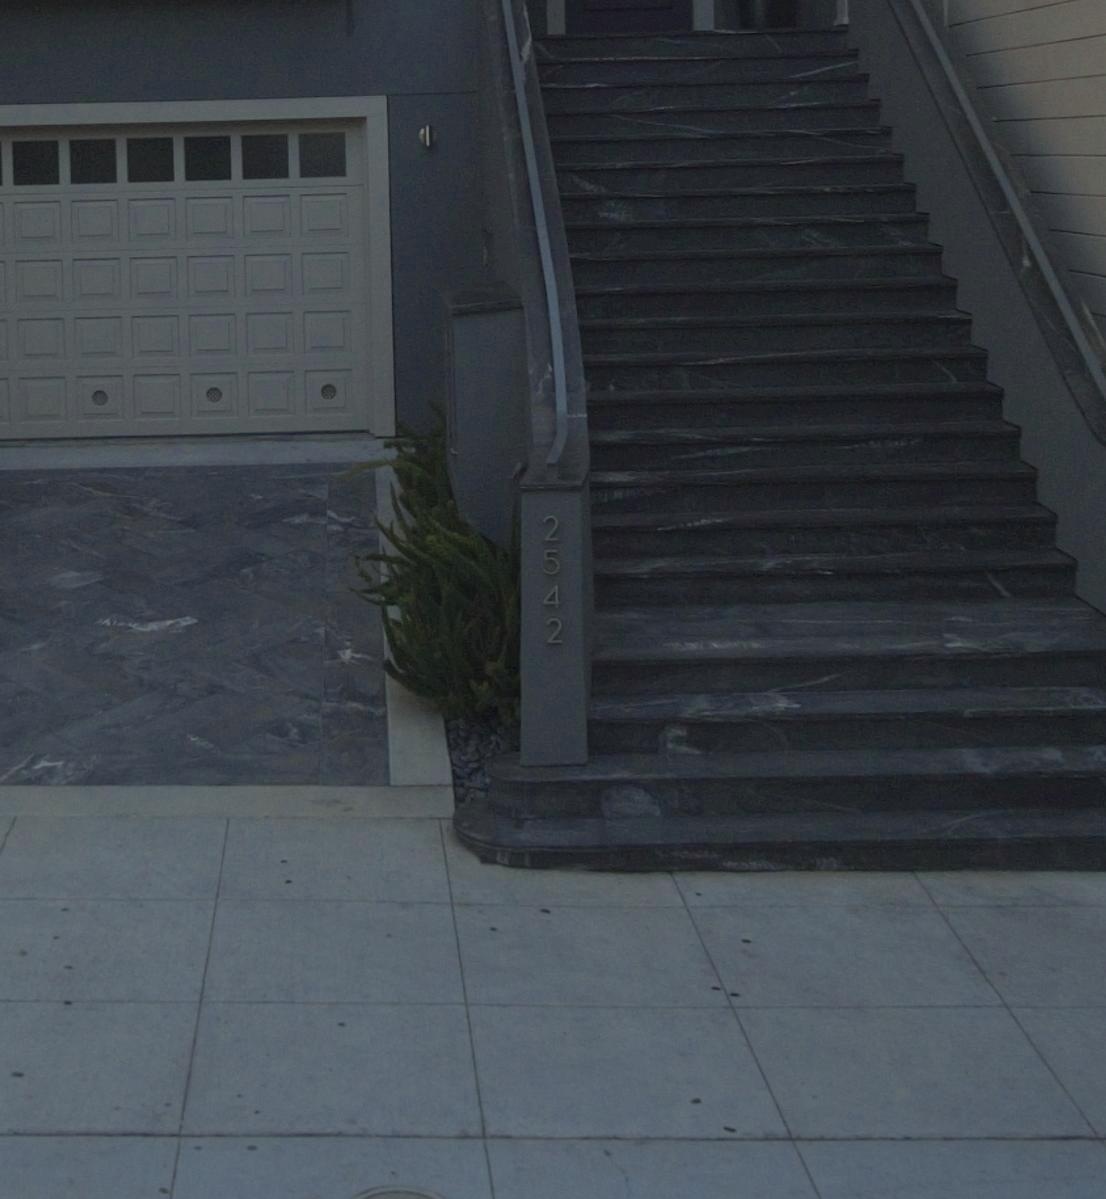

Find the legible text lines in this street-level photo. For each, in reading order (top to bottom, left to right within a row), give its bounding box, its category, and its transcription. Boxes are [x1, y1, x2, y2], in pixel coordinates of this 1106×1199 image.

[539, 513, 566, 647] StreetNumber: 2542